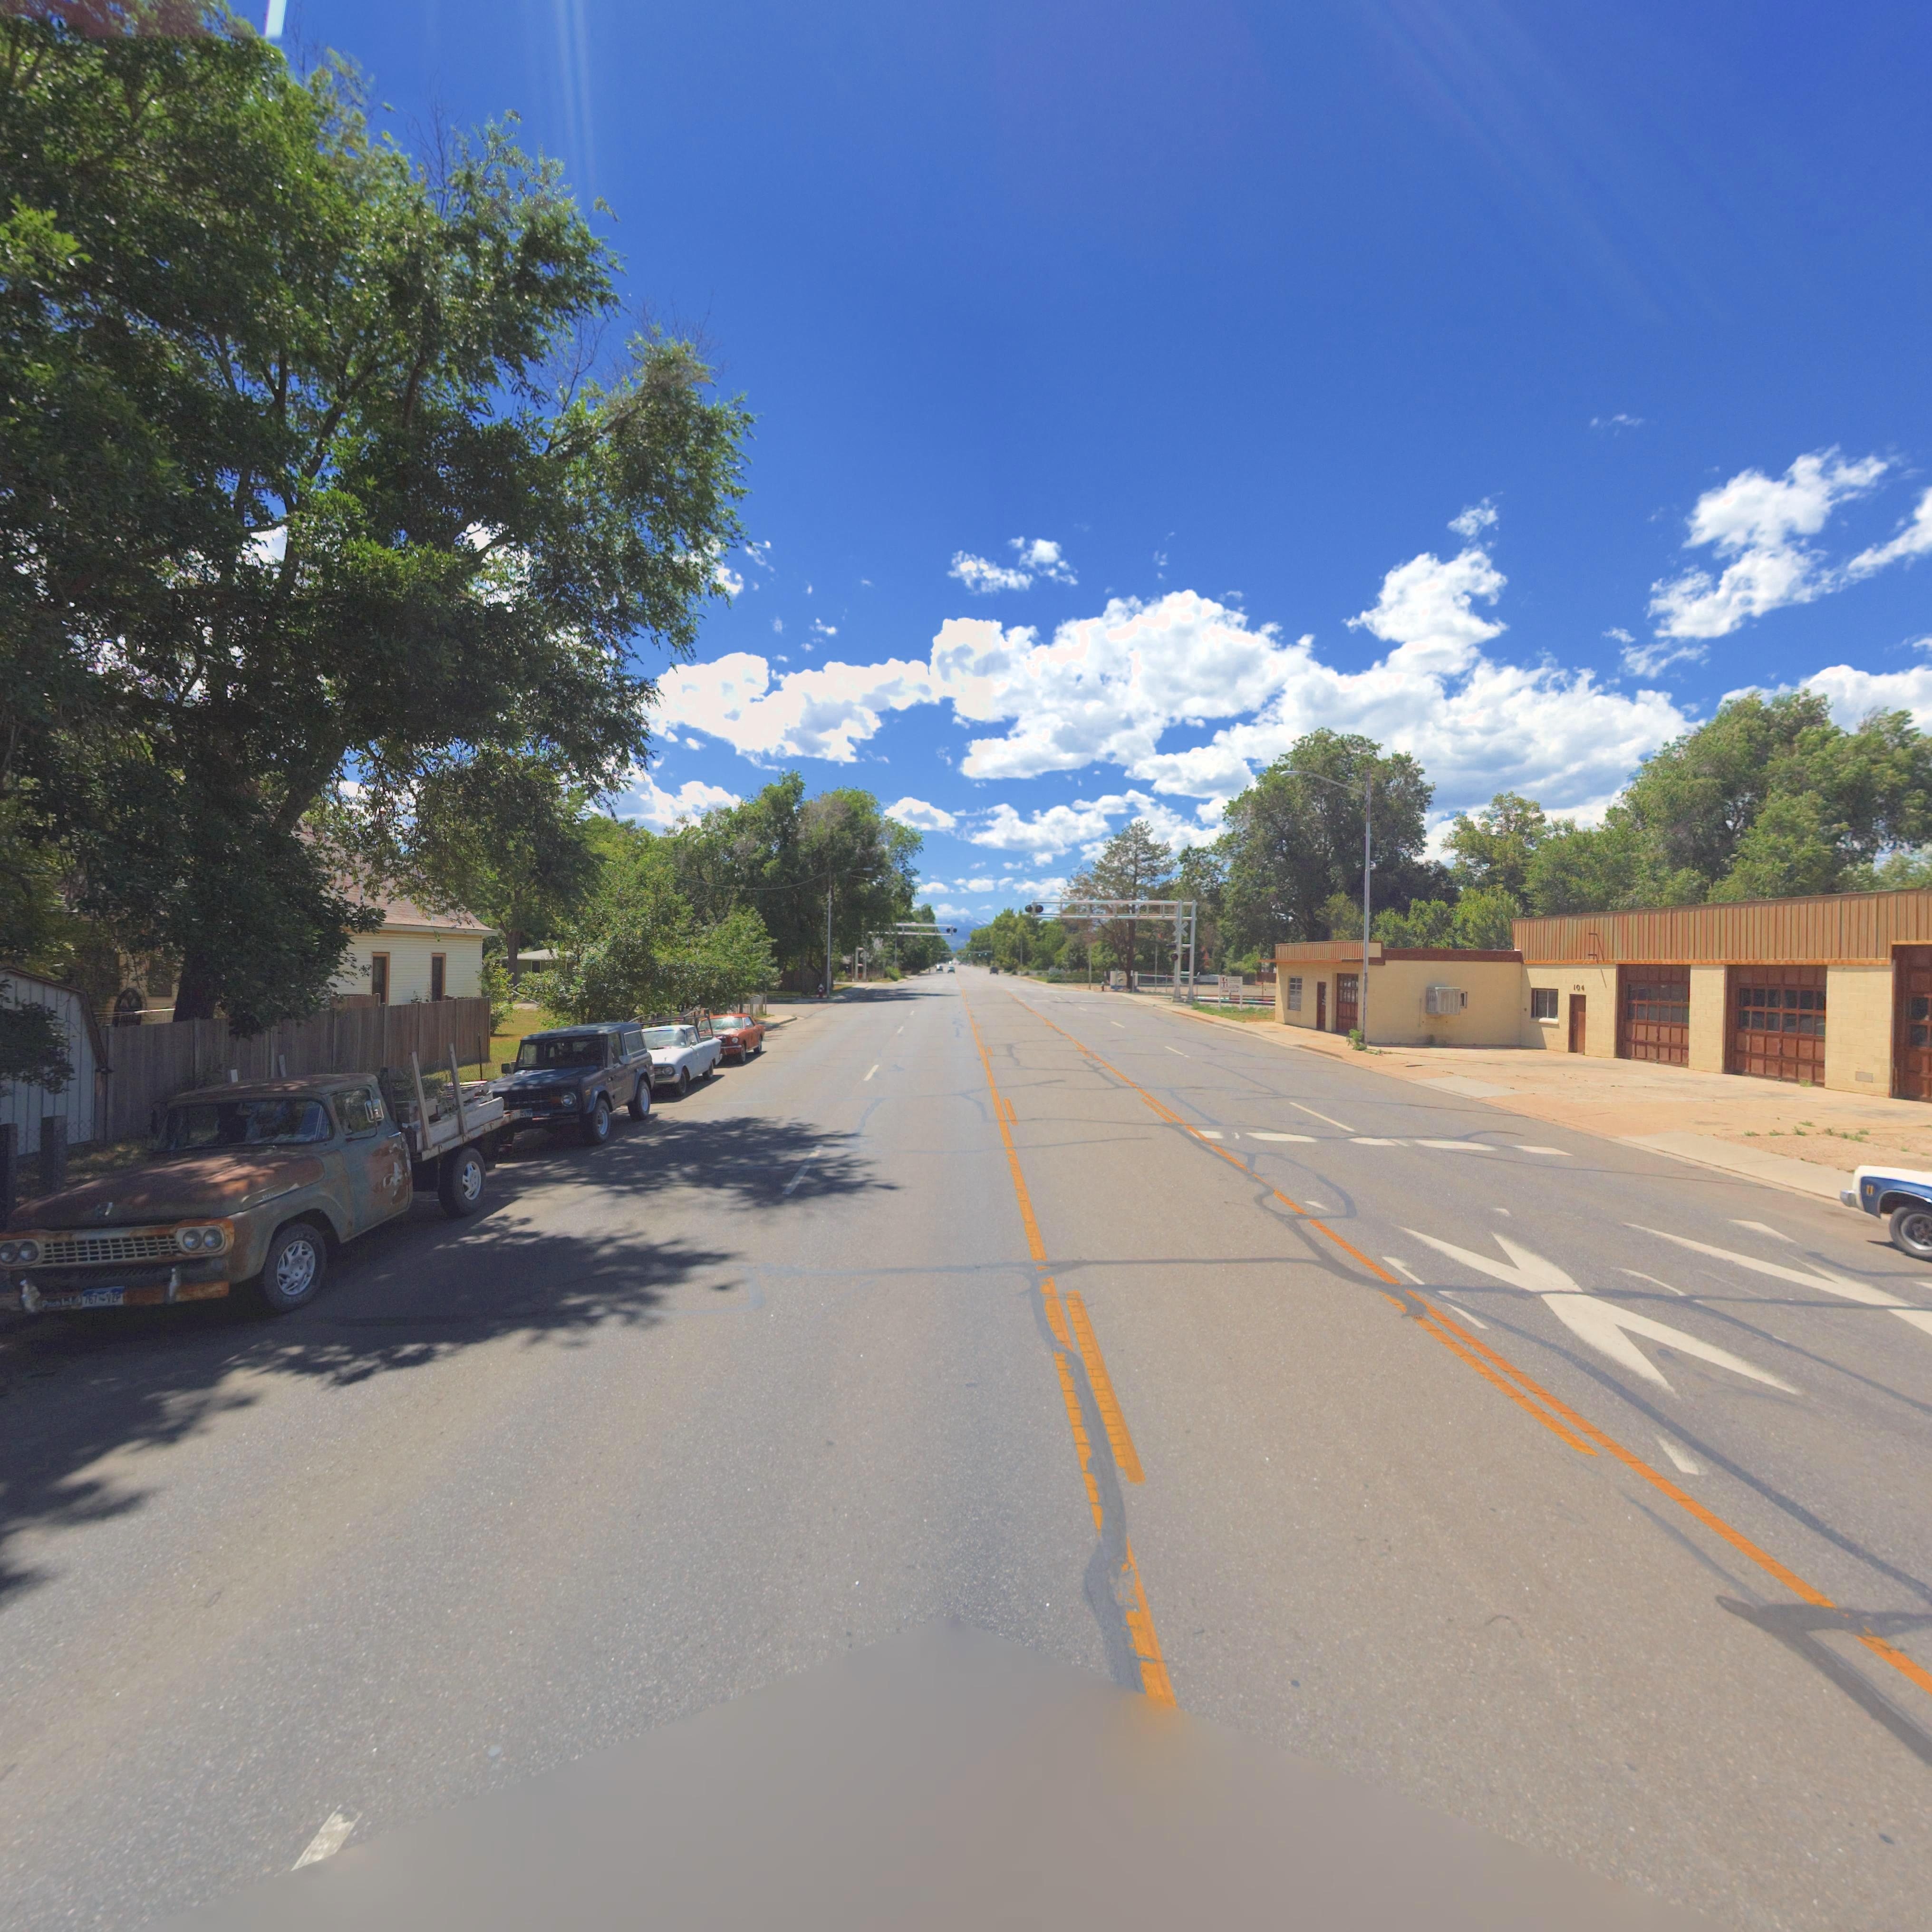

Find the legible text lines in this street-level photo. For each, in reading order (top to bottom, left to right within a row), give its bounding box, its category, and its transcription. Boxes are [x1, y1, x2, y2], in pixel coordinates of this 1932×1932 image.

[1573, 984, 1584, 991] StreetNumber: 104